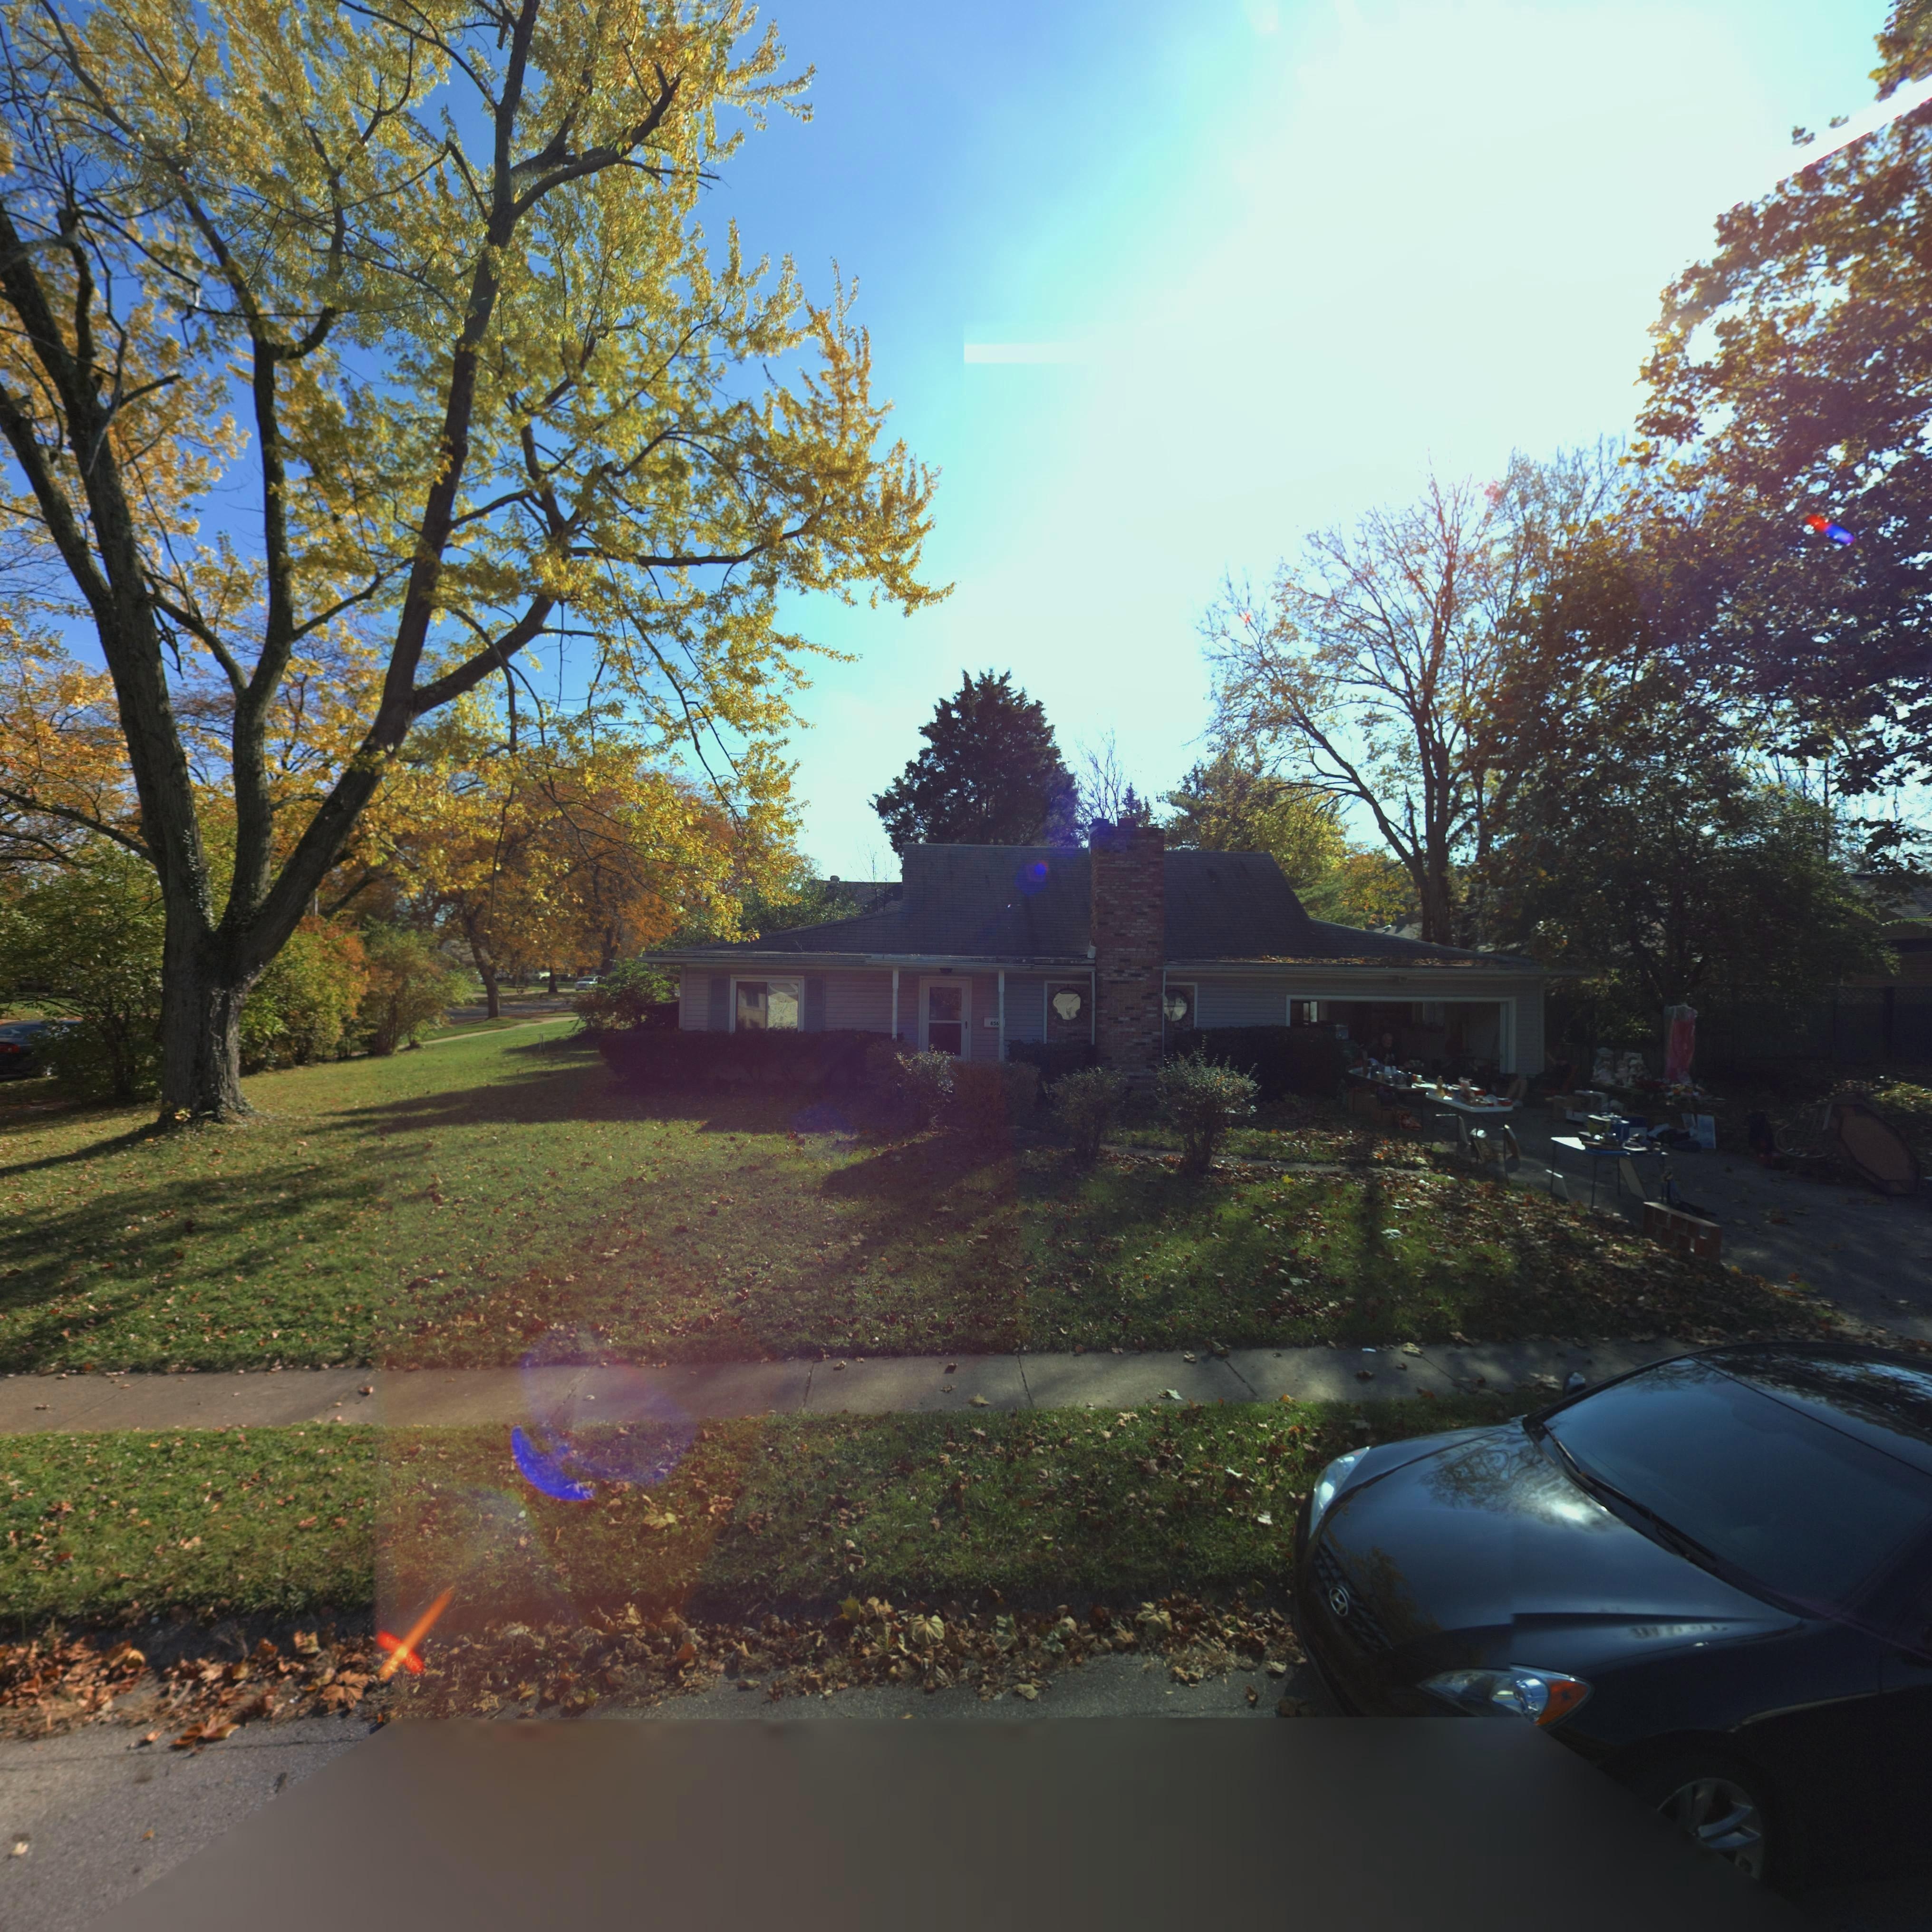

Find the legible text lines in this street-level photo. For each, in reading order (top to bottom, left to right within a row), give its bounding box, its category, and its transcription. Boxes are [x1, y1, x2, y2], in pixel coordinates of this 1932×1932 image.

[990, 1021, 999, 1026] StreetNumber: 856